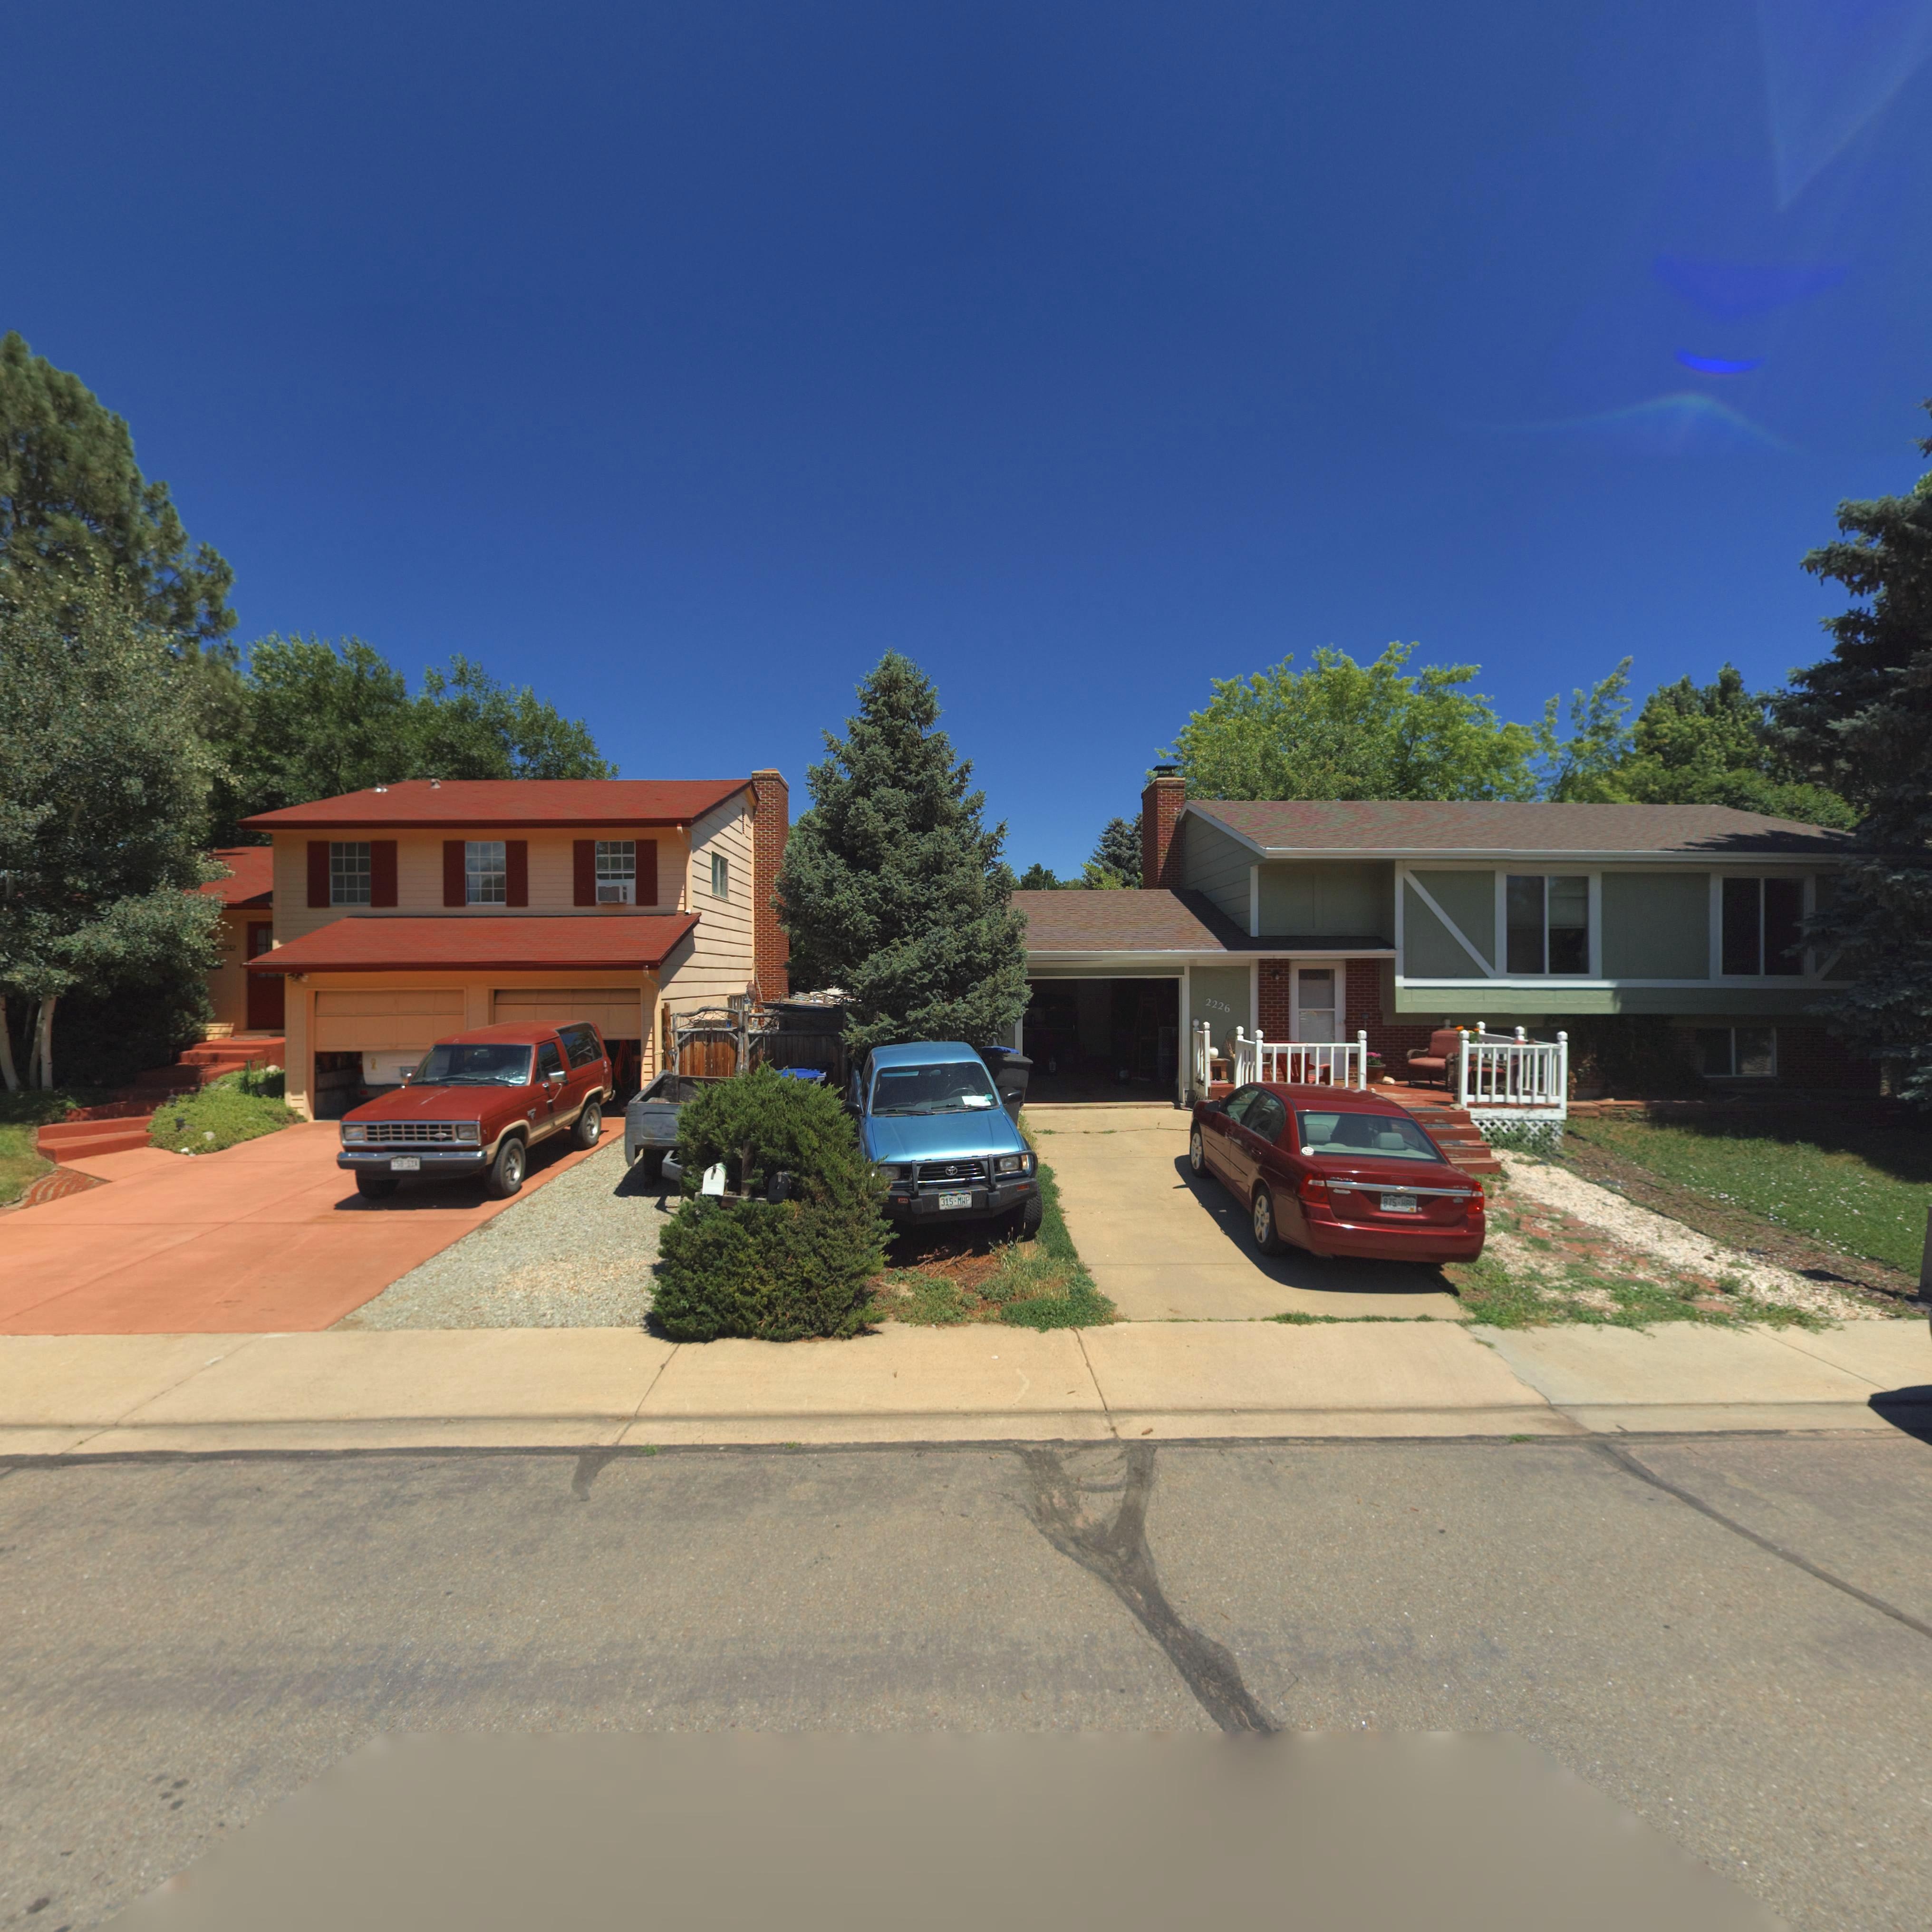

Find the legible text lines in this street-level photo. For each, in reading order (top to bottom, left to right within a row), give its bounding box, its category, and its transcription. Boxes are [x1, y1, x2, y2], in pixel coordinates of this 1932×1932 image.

[222, 944, 237, 951] StreetNumber: 232
[1204, 997, 1230, 1013] StreetNumber: 2226*